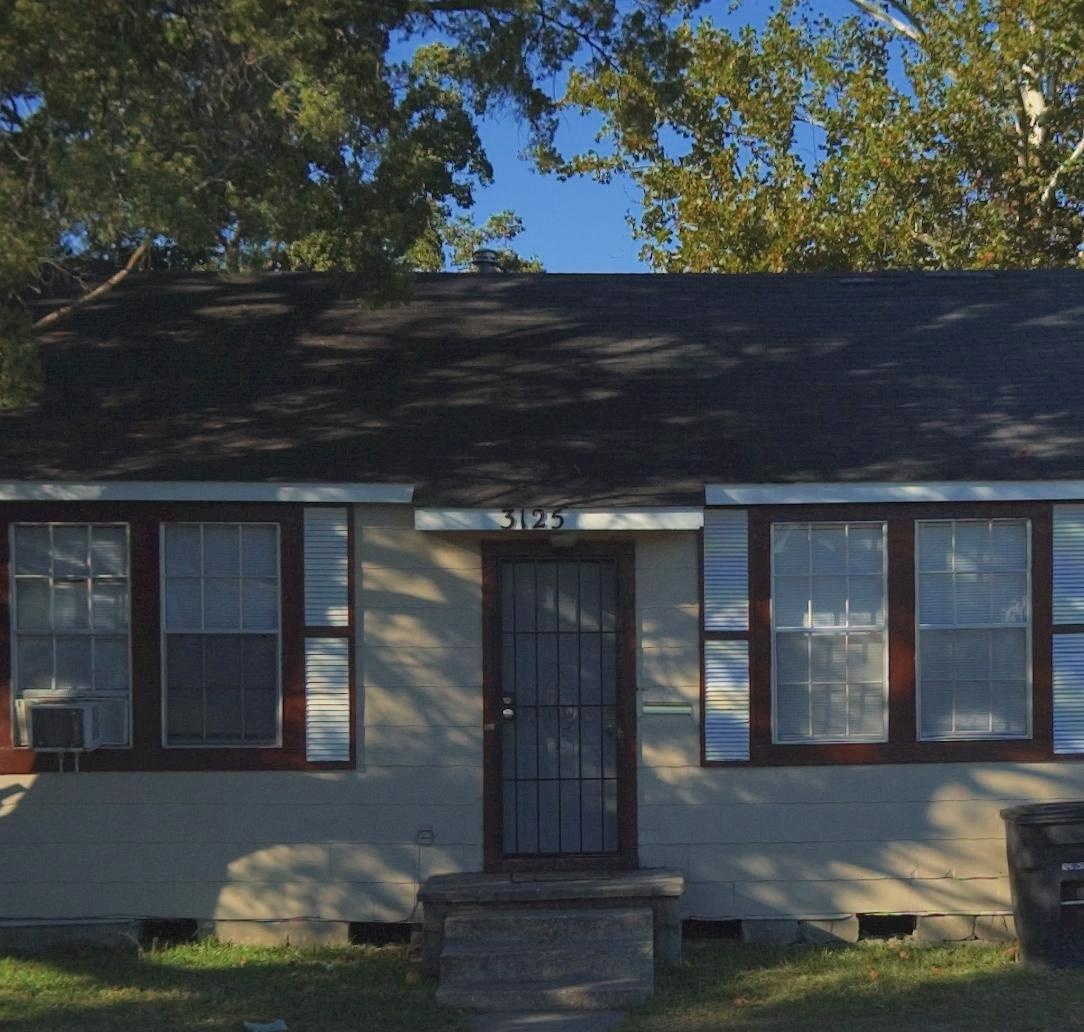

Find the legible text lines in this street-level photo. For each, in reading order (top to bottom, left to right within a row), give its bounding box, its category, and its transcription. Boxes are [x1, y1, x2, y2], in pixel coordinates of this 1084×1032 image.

[500, 505, 566, 532] StreetNumber: 3125